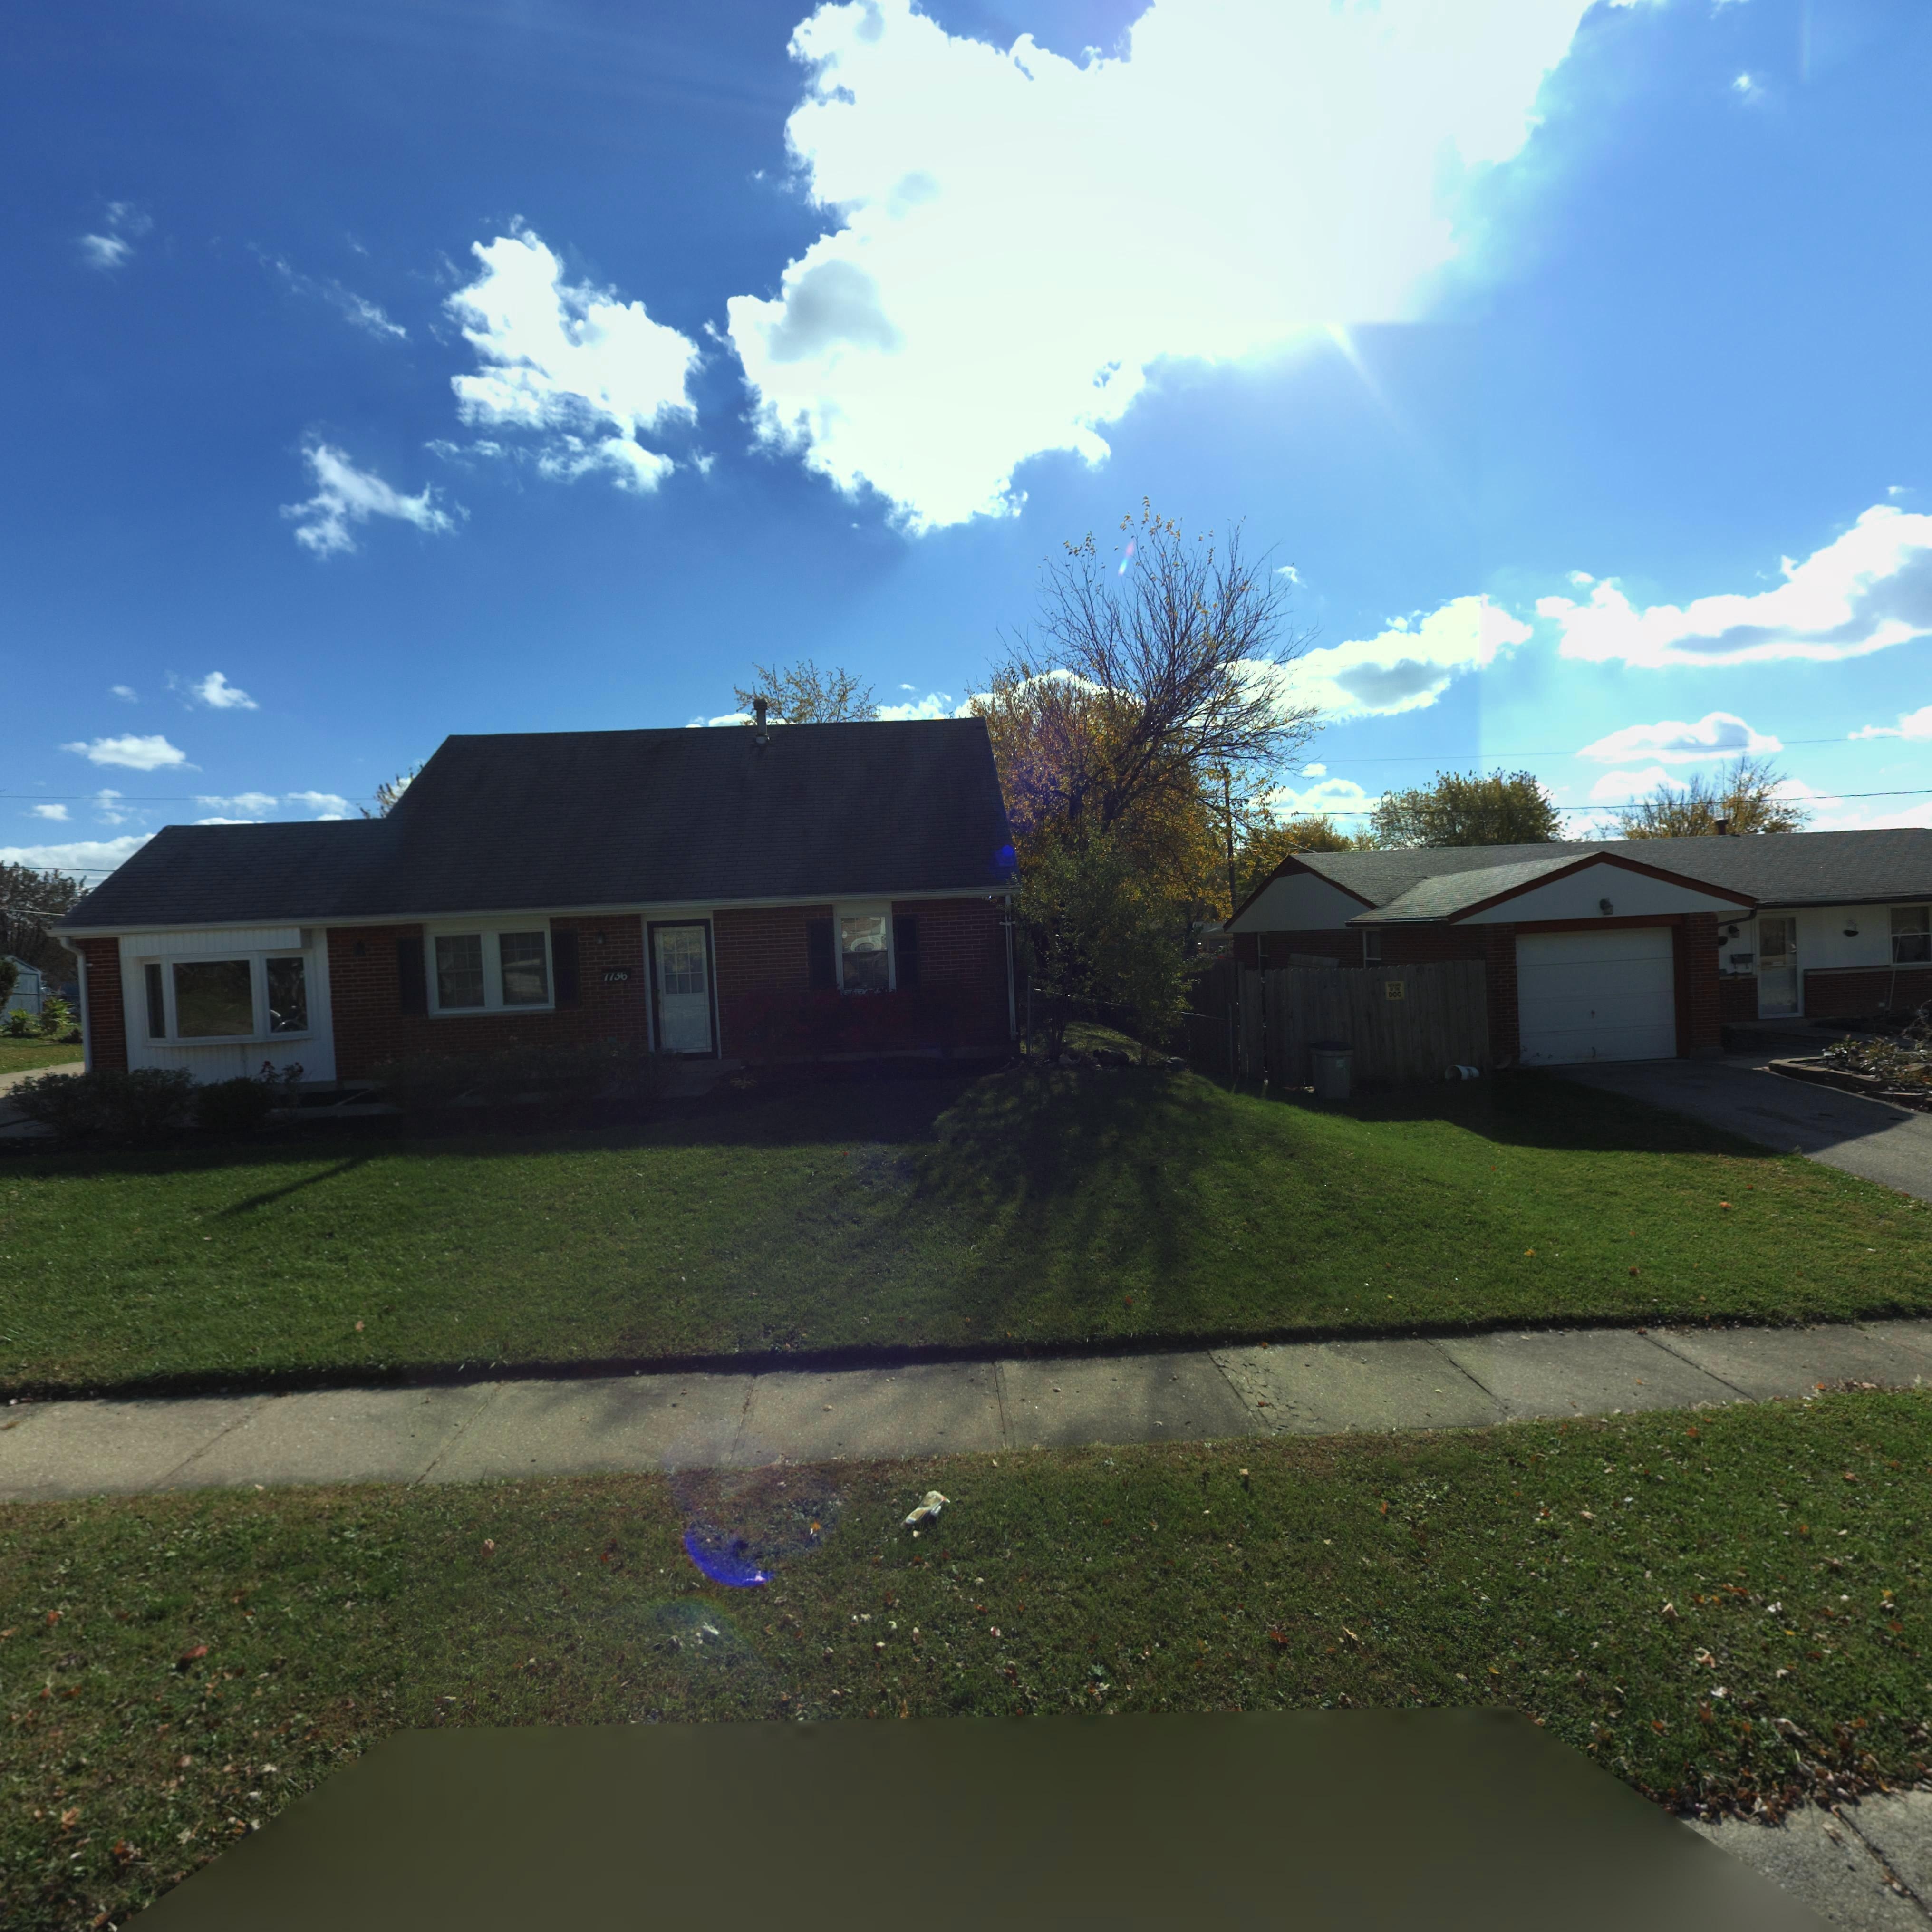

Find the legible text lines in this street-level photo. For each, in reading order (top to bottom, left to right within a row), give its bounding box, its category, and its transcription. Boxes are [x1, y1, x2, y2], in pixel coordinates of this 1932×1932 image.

[602, 971, 628, 982] StreetNumber: 7736